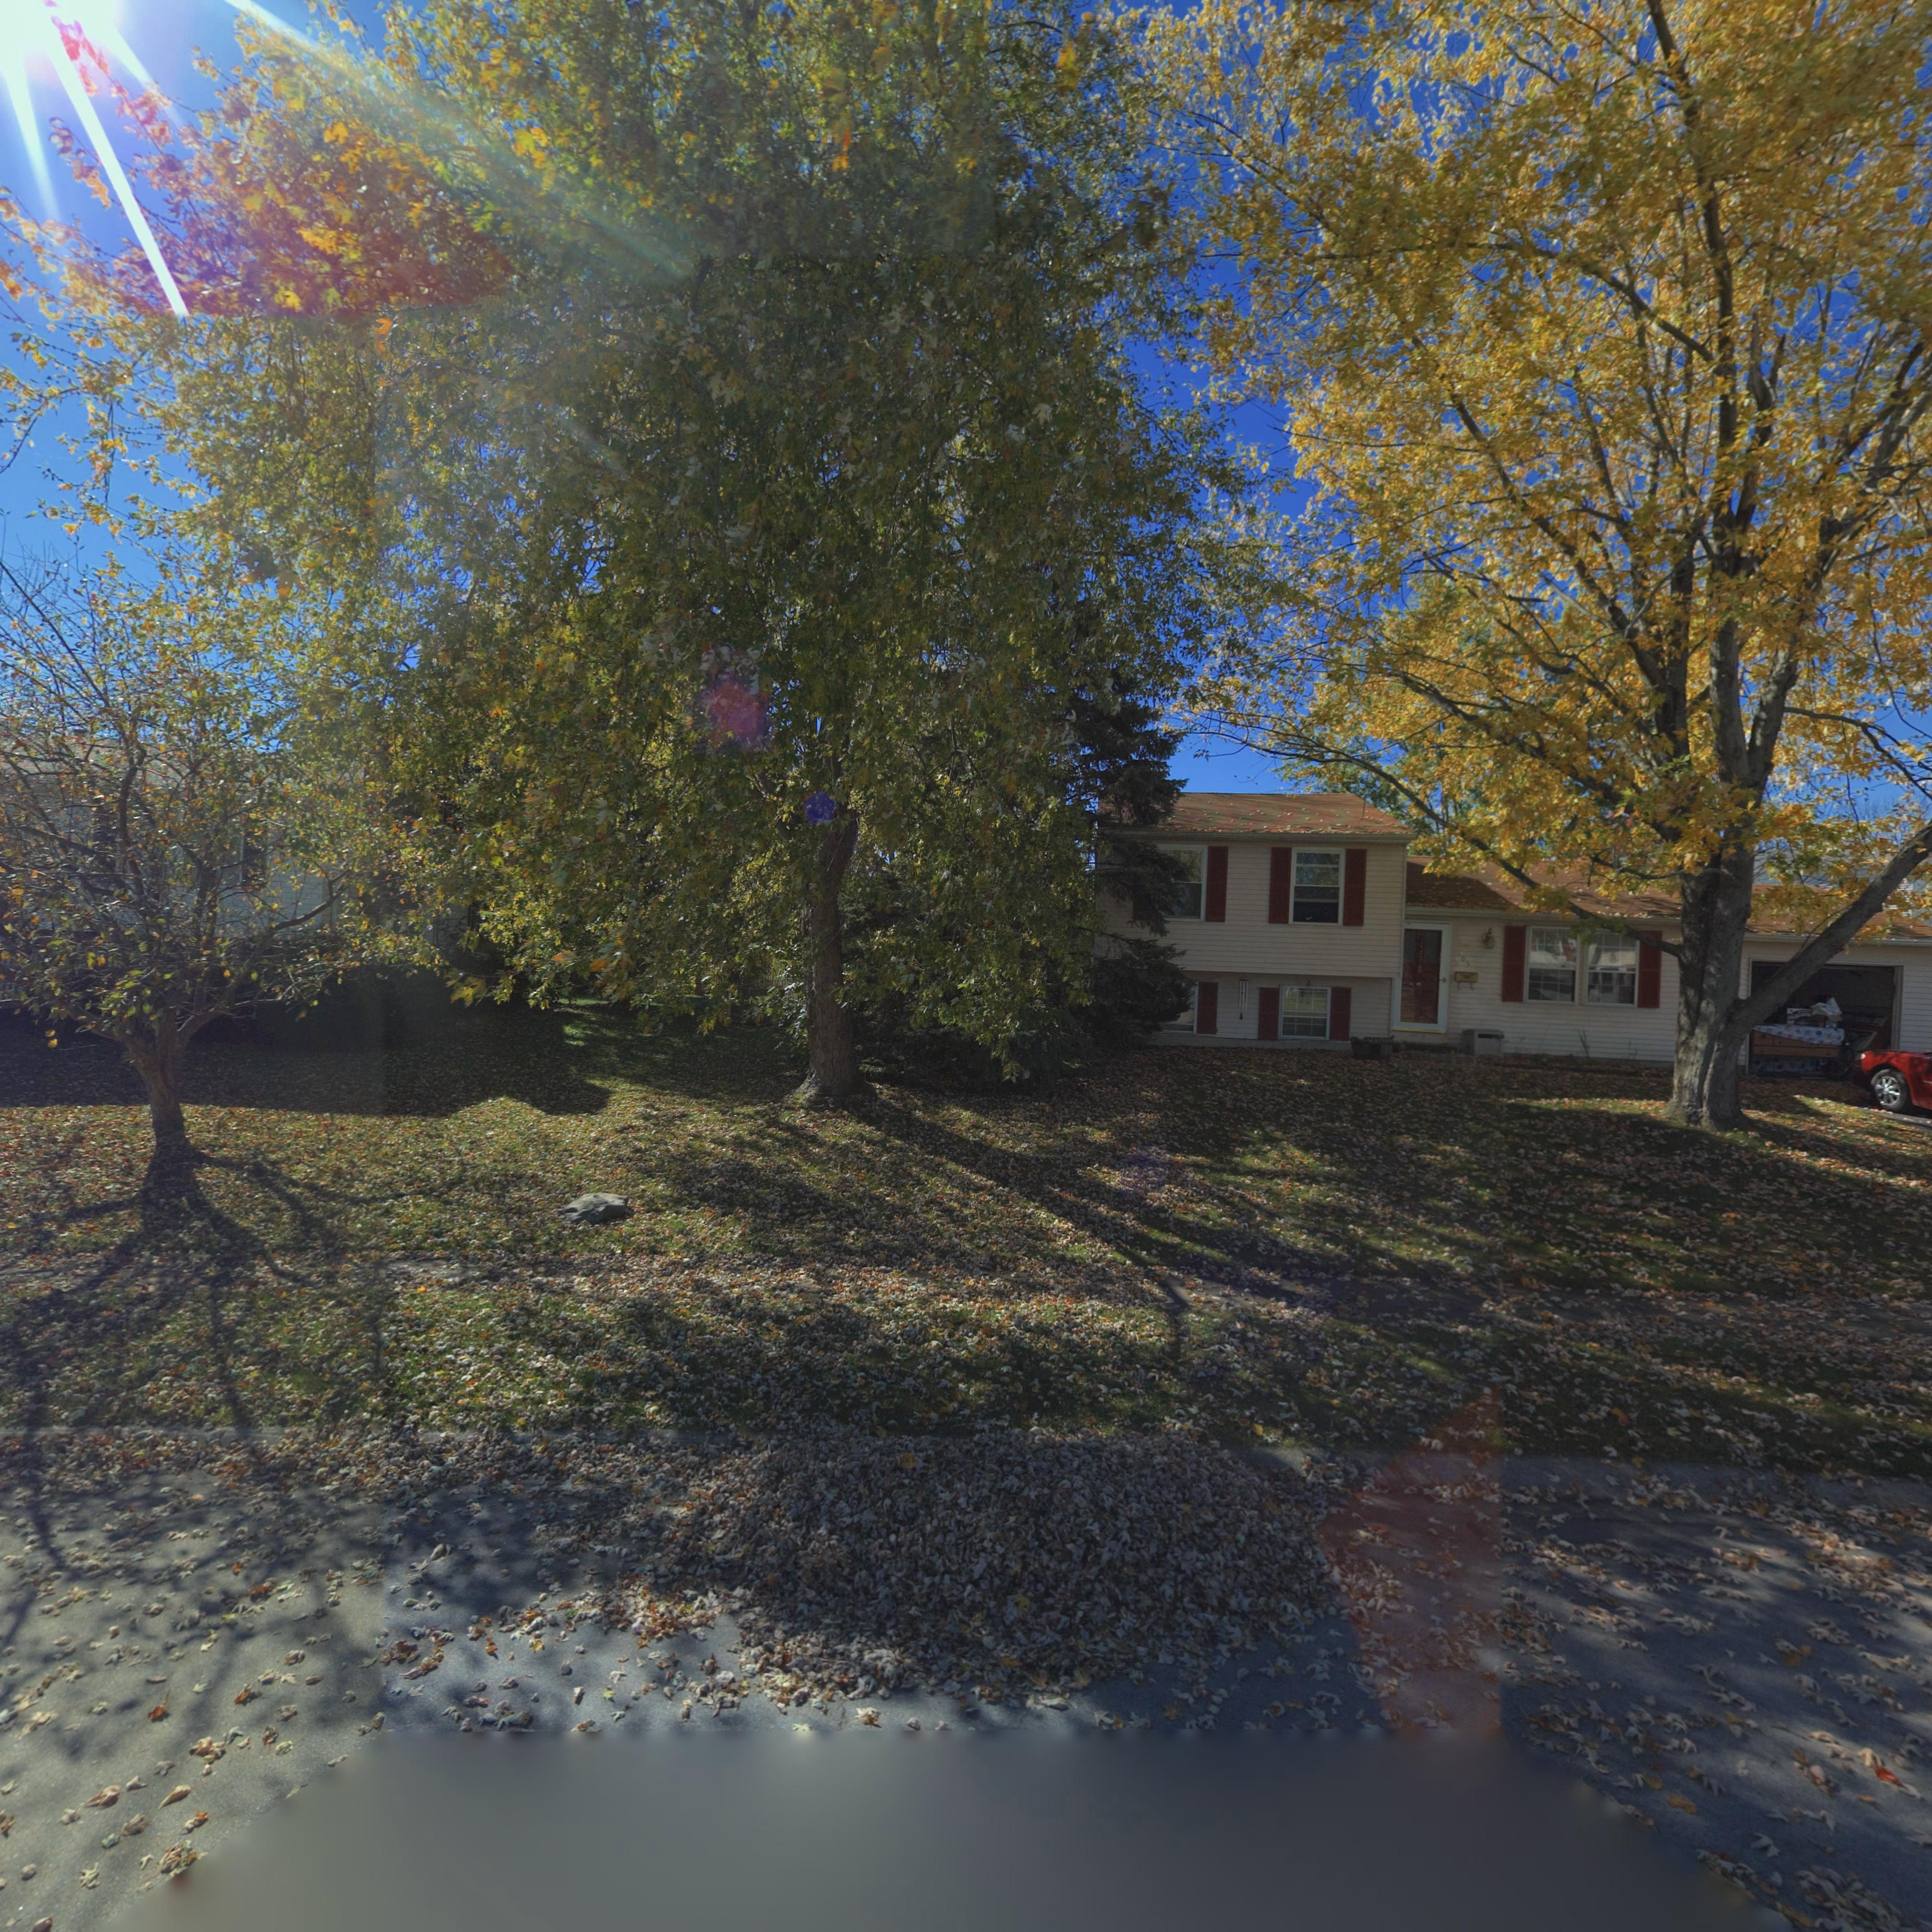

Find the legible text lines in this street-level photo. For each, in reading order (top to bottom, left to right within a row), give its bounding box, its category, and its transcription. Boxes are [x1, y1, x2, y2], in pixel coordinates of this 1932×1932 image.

[1457, 949, 1471, 968] StreetNumber: 103